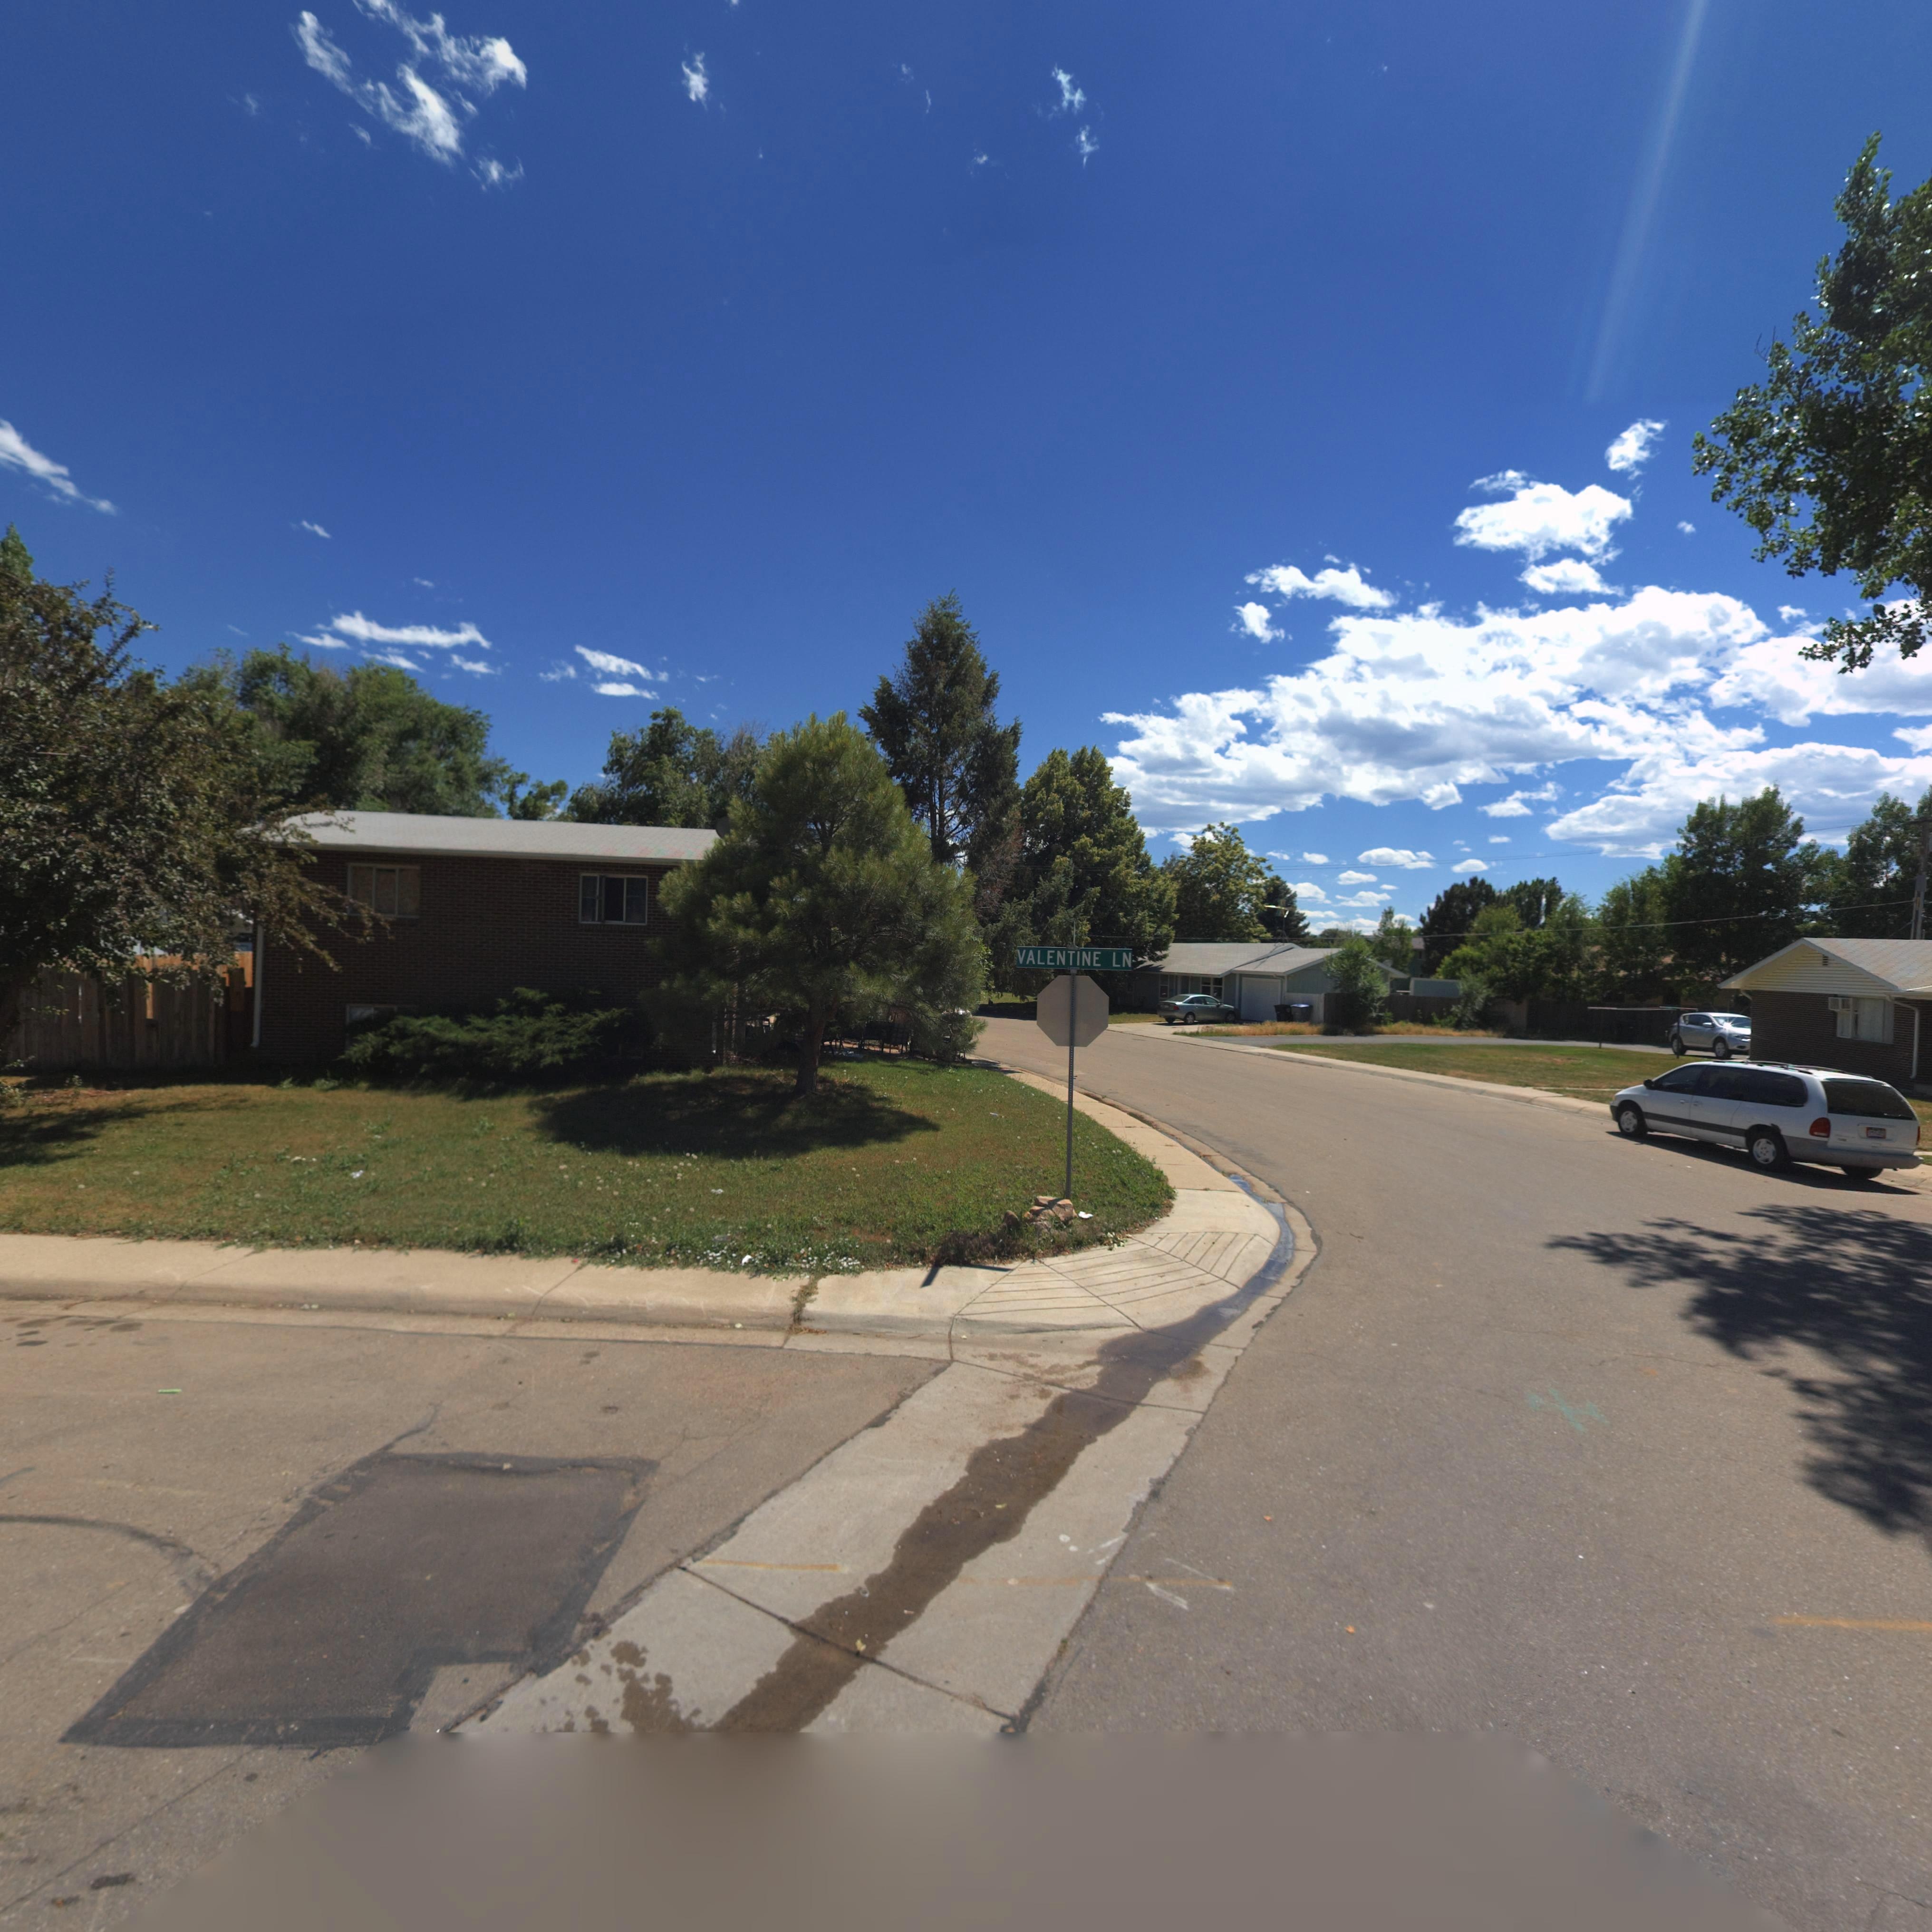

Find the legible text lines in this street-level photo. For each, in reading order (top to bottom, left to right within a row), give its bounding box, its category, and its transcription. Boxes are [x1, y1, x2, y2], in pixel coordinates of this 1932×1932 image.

[1016, 949, 1132, 967] StreetName: VALENTINE LN